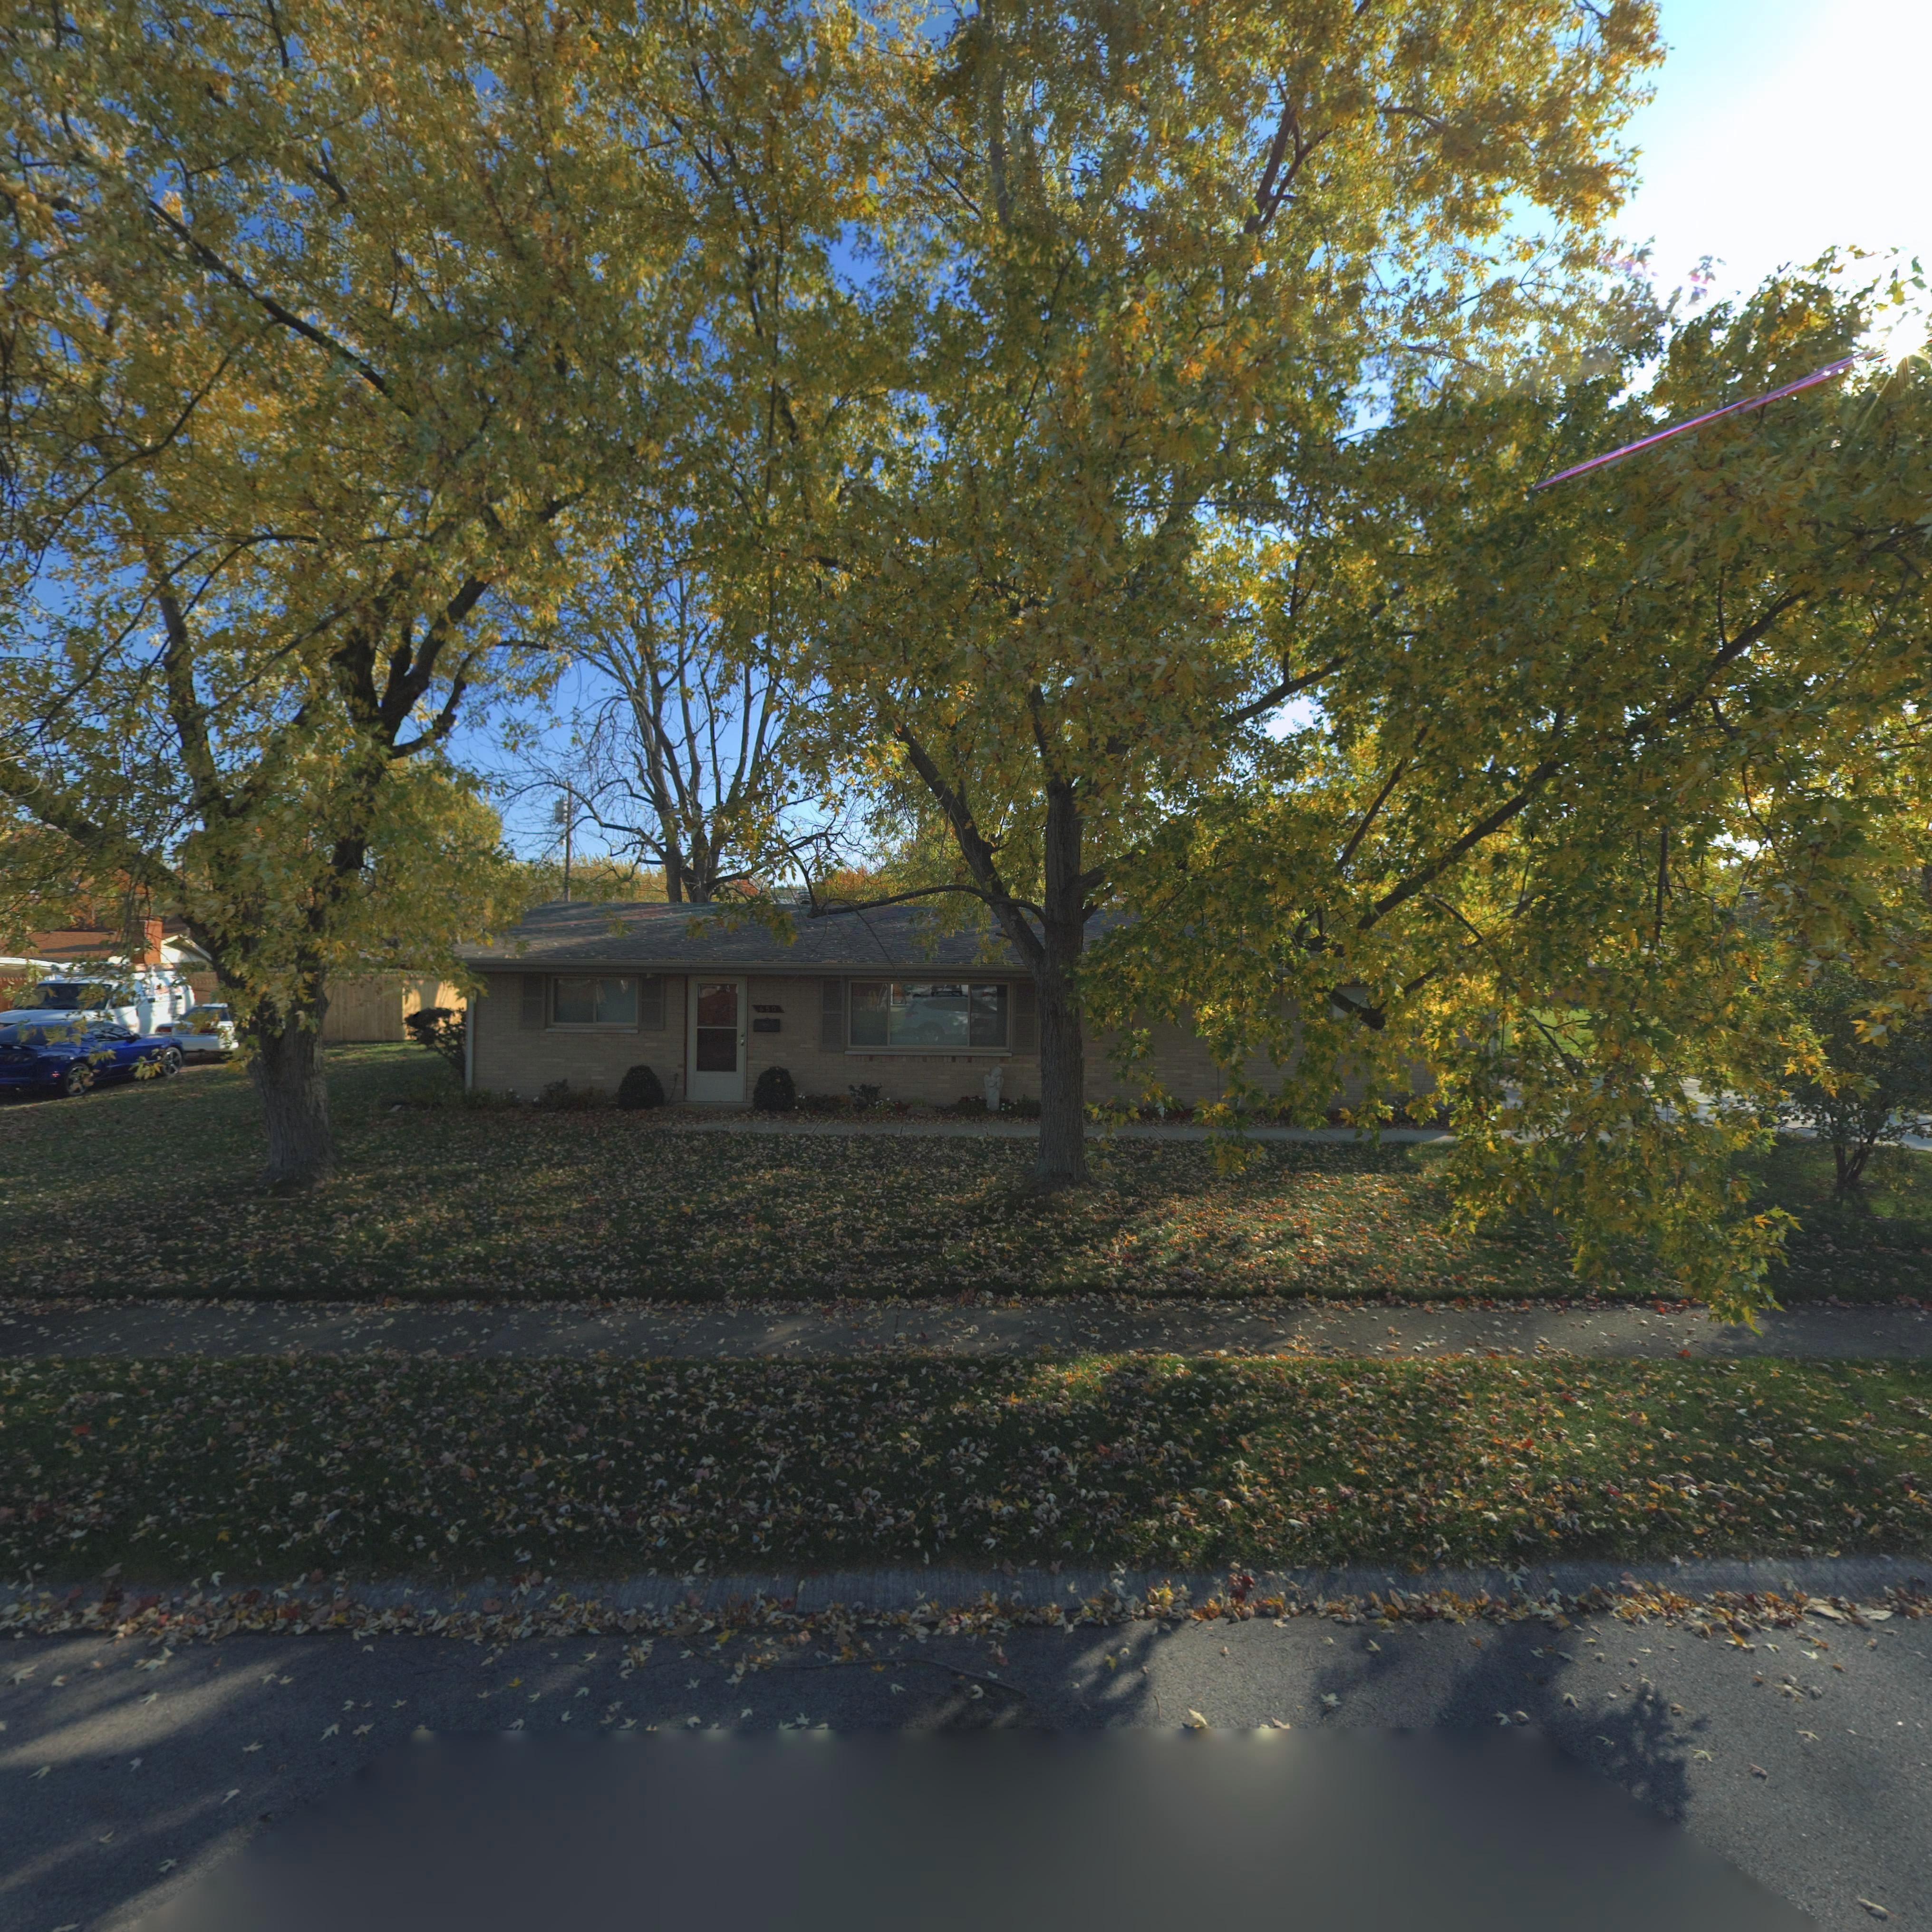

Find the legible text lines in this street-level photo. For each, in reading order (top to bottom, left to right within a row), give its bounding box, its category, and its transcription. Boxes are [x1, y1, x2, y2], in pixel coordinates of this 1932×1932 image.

[758, 1005, 776, 1013] StreetNumber: 650